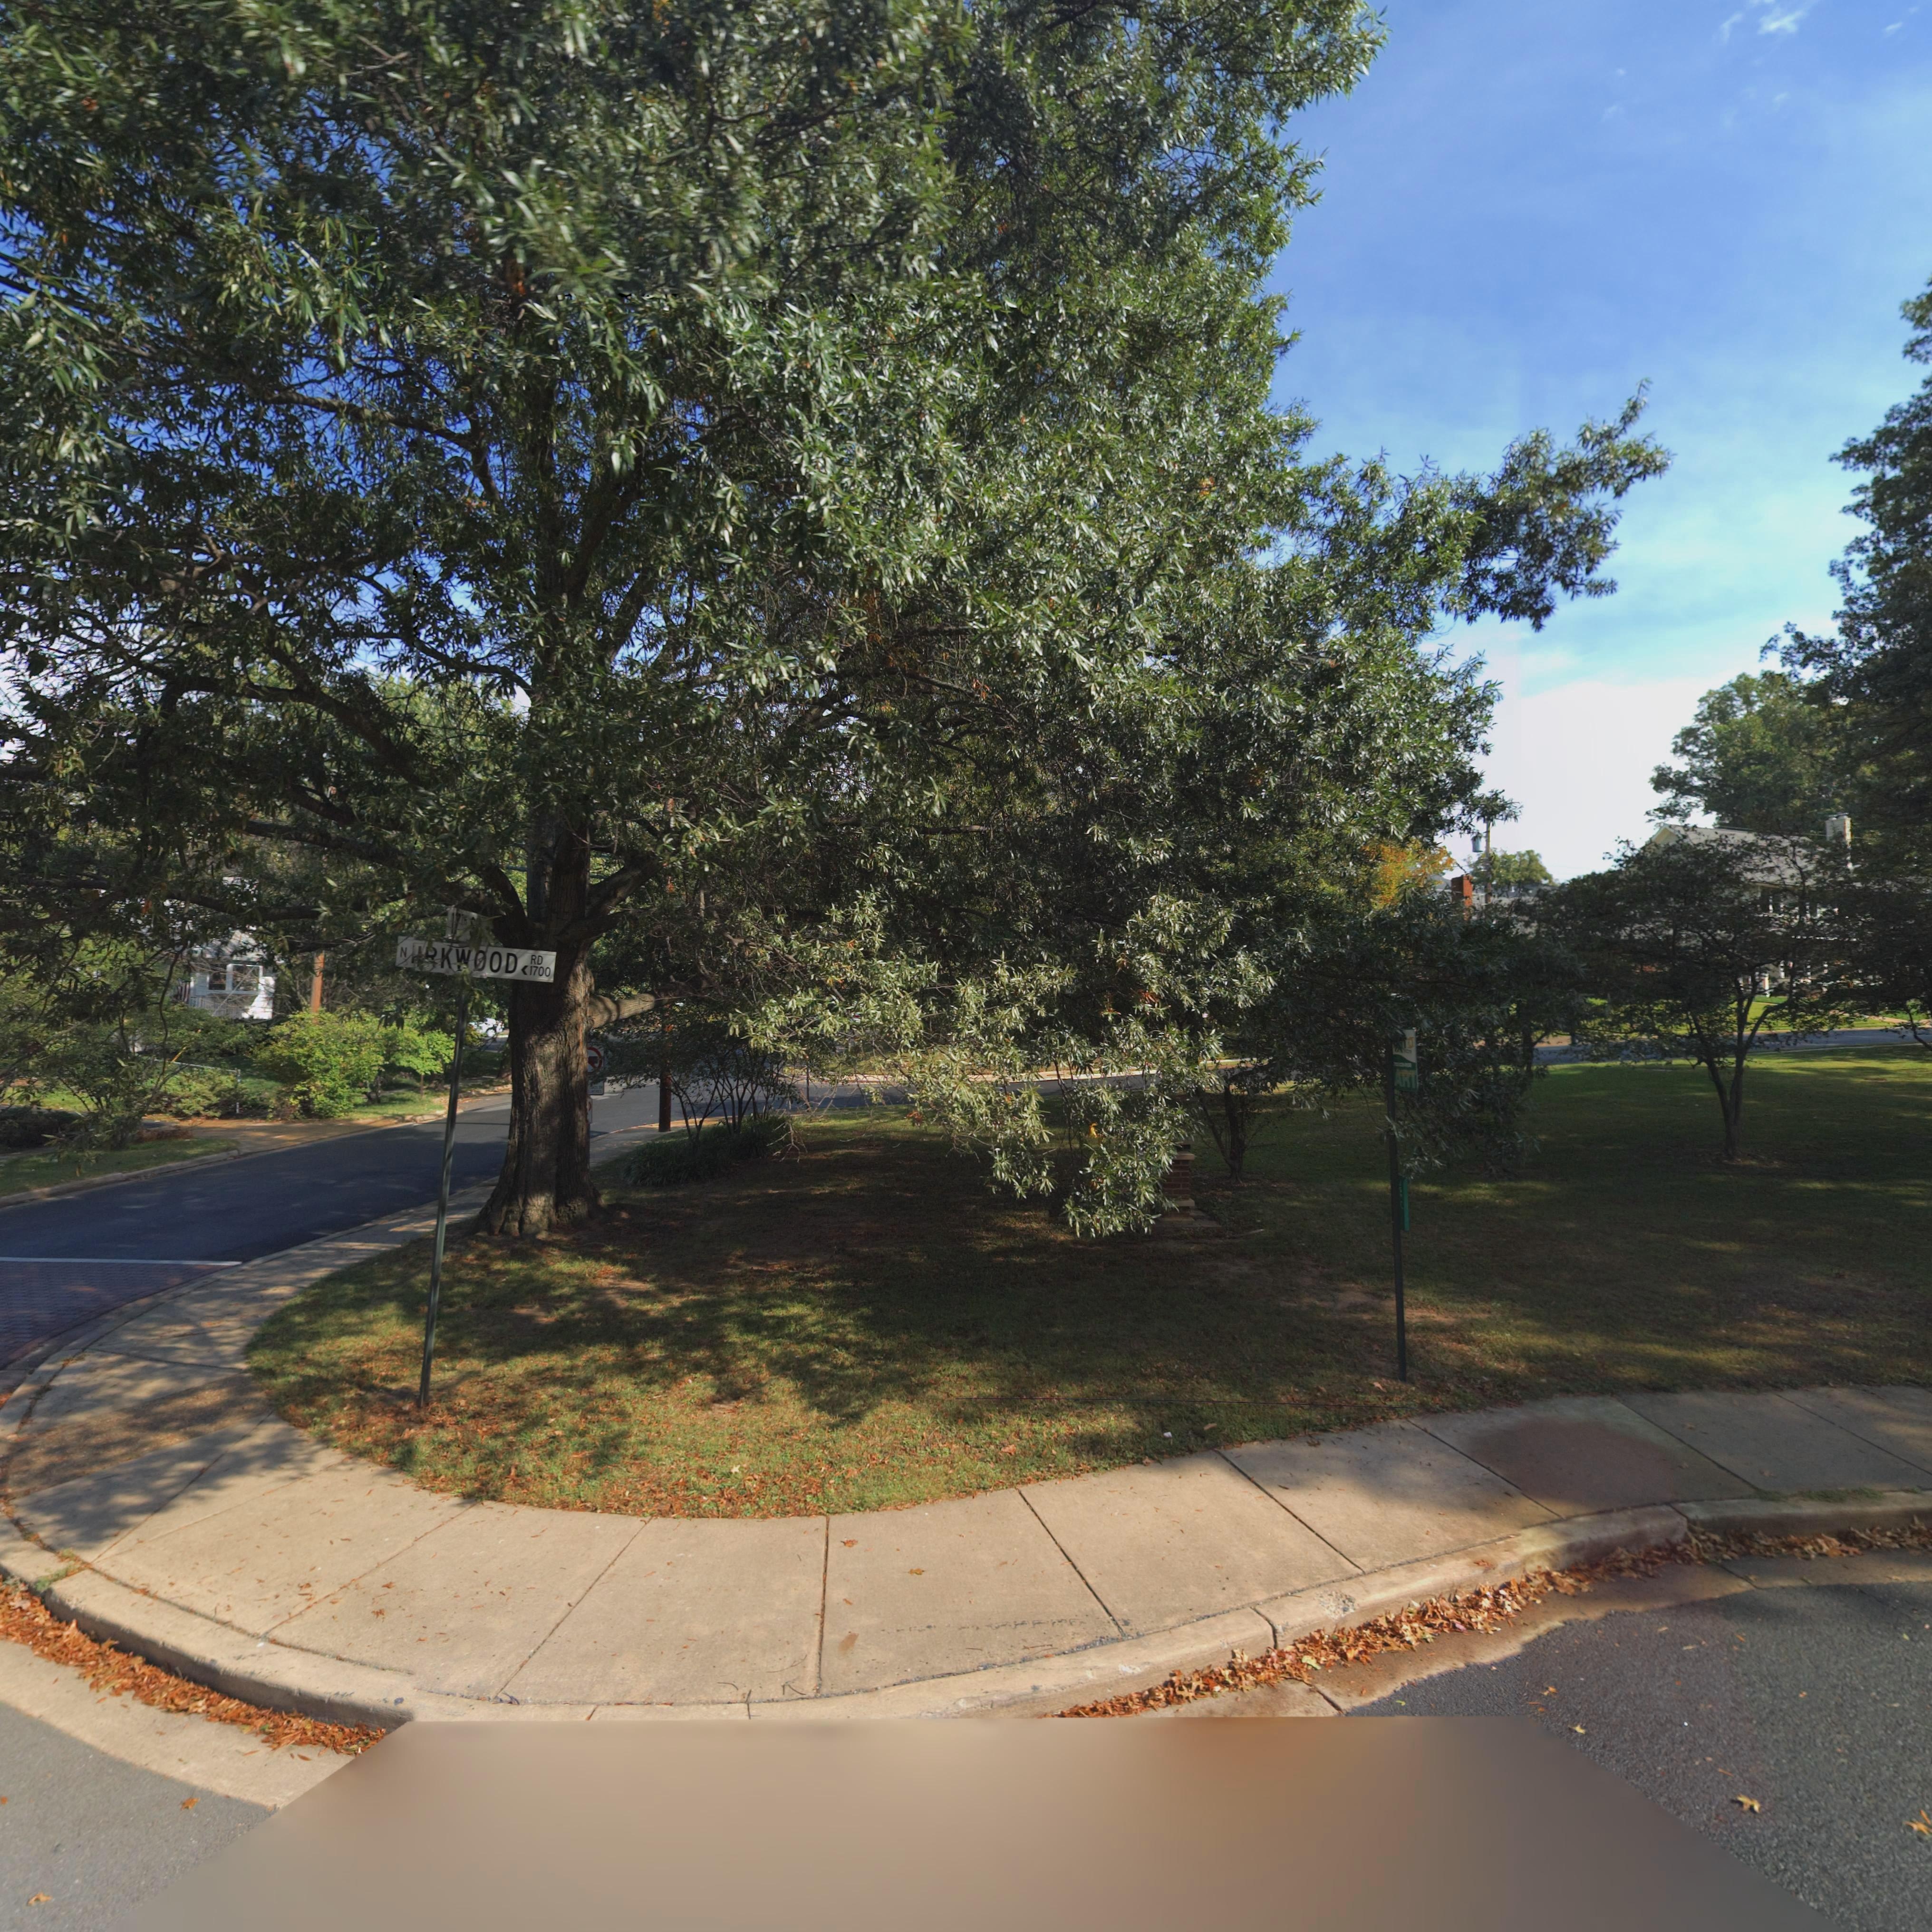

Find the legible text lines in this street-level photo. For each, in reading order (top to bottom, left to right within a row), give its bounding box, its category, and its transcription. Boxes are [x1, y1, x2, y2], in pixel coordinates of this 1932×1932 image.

[398, 944, 409, 960] StreetName: N
[487, 948, 545, 976] StreetName: OD RD
[519, 963, 552, 979] StreetNumberRange: <-1700